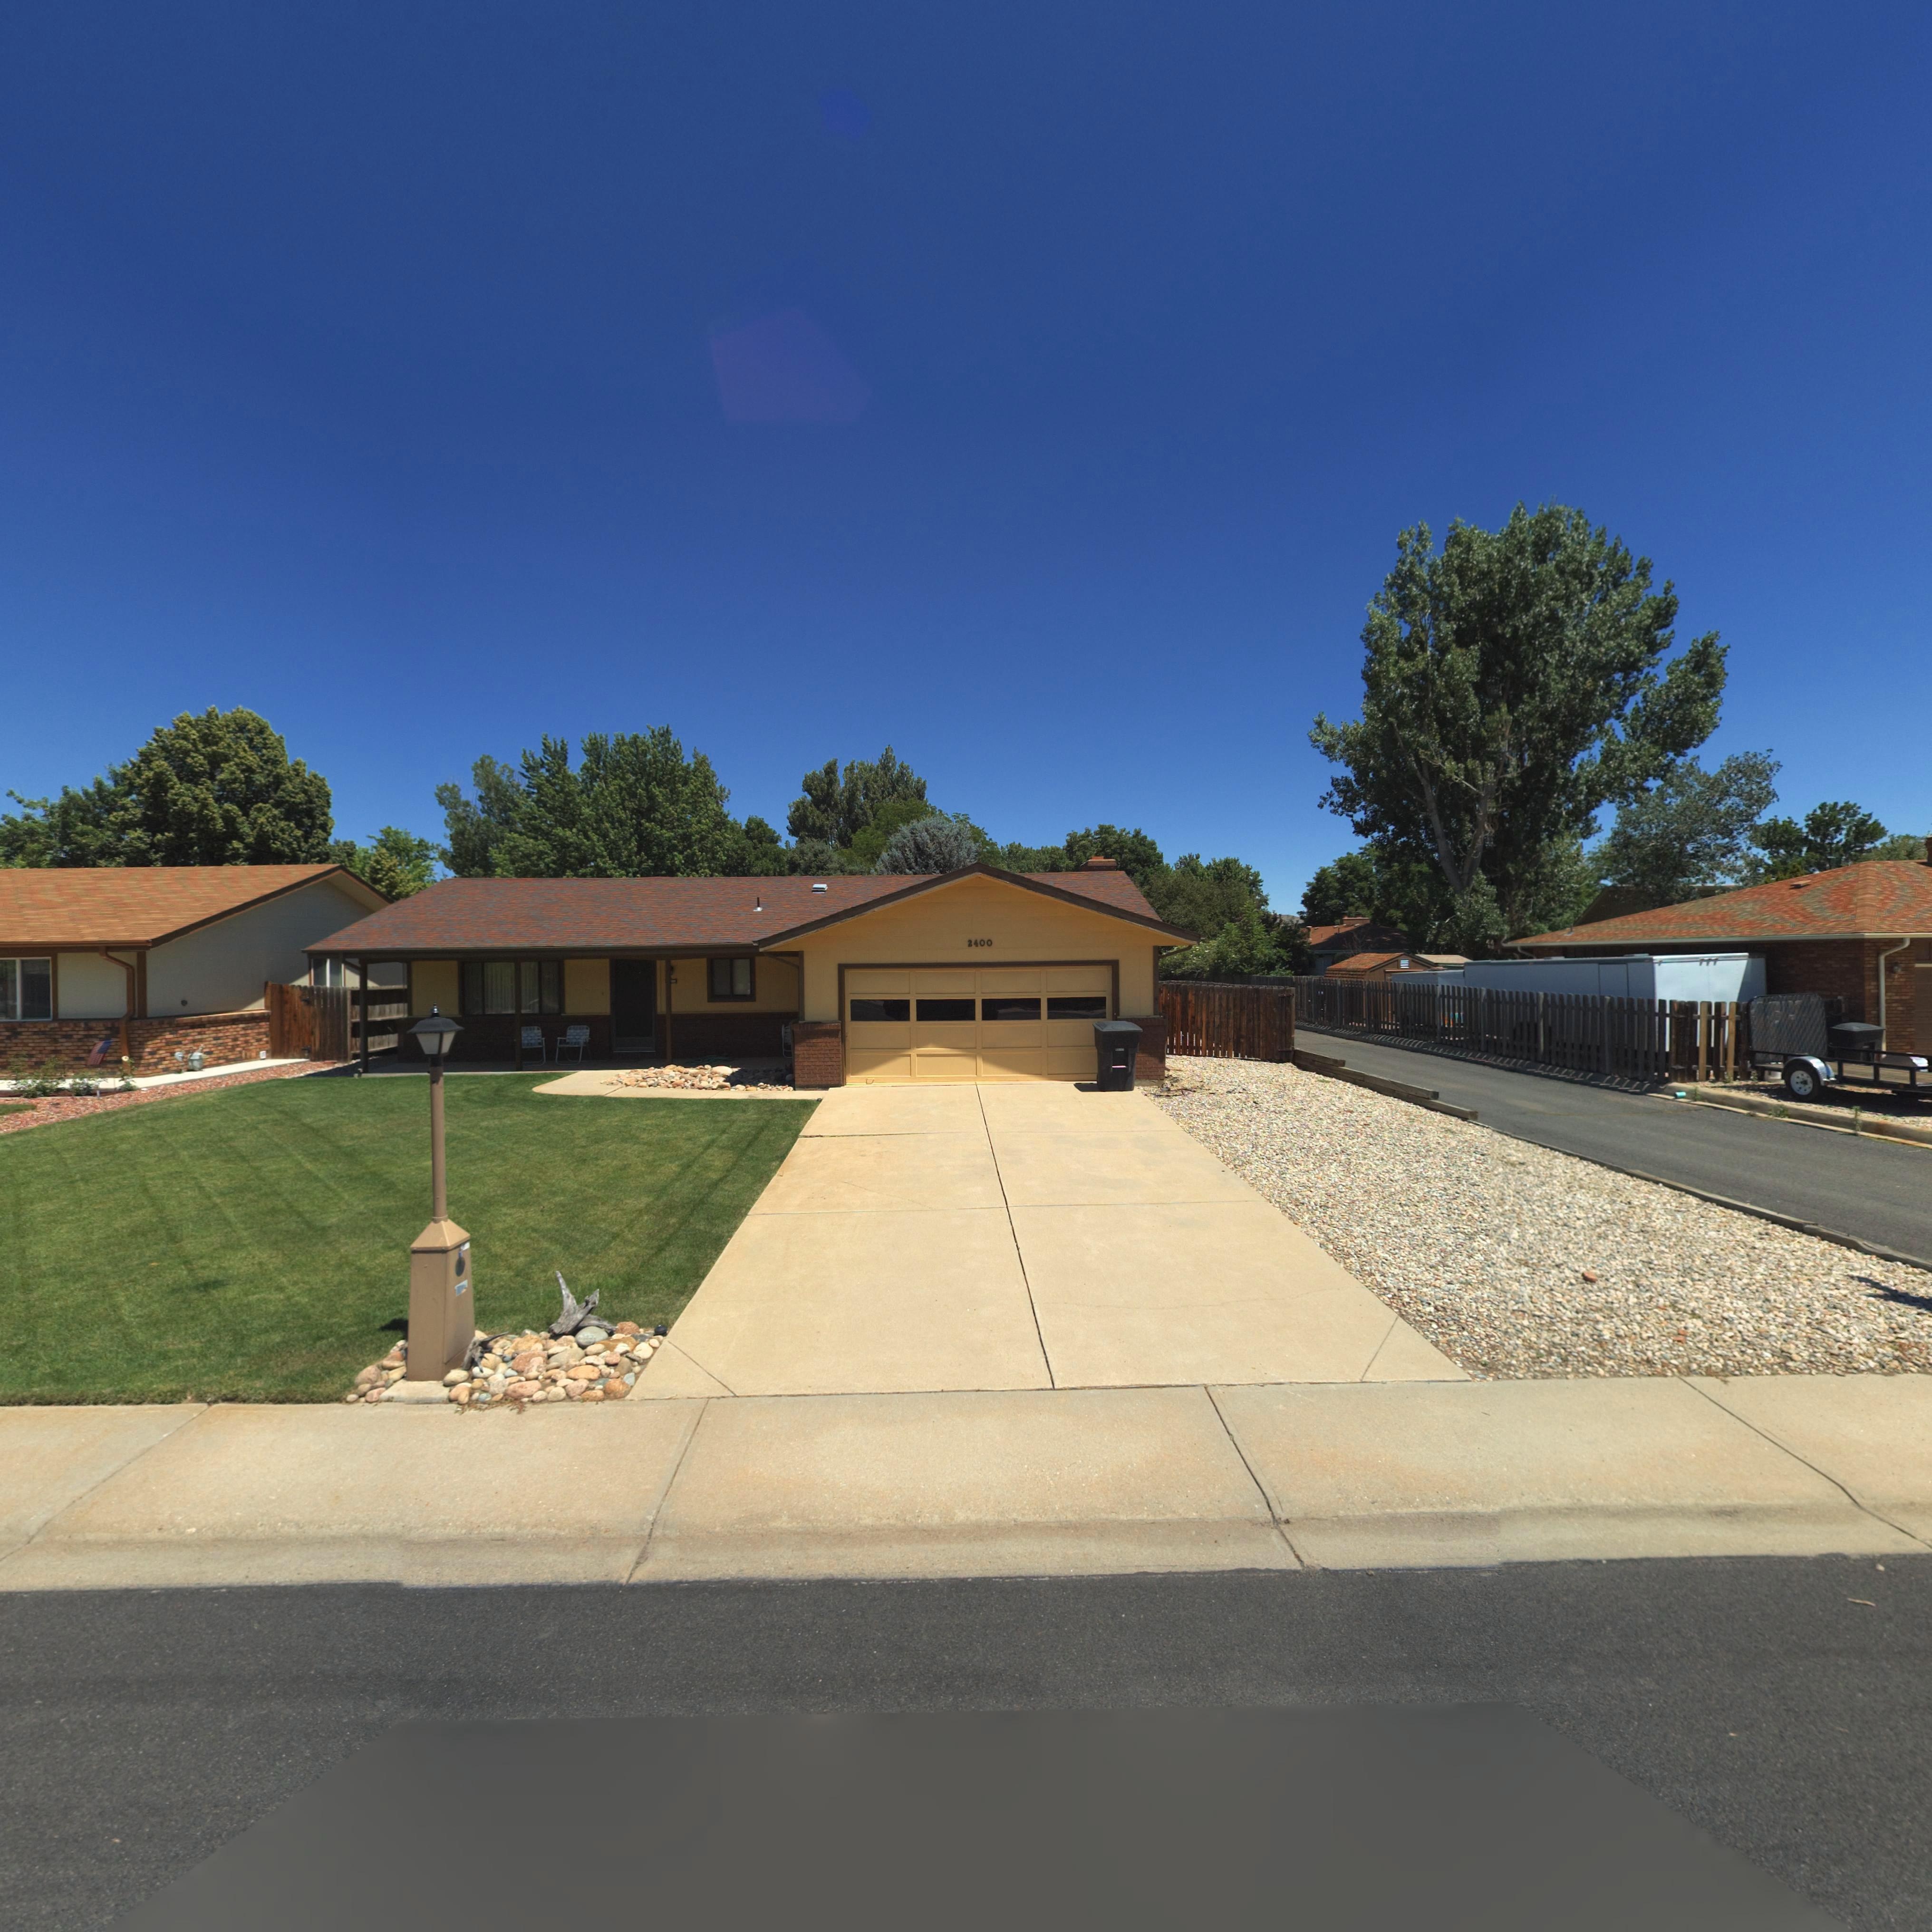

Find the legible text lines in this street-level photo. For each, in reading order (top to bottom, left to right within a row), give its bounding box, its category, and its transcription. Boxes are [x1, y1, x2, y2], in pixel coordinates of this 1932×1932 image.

[967, 938, 993, 947] StreetNumber: 2400